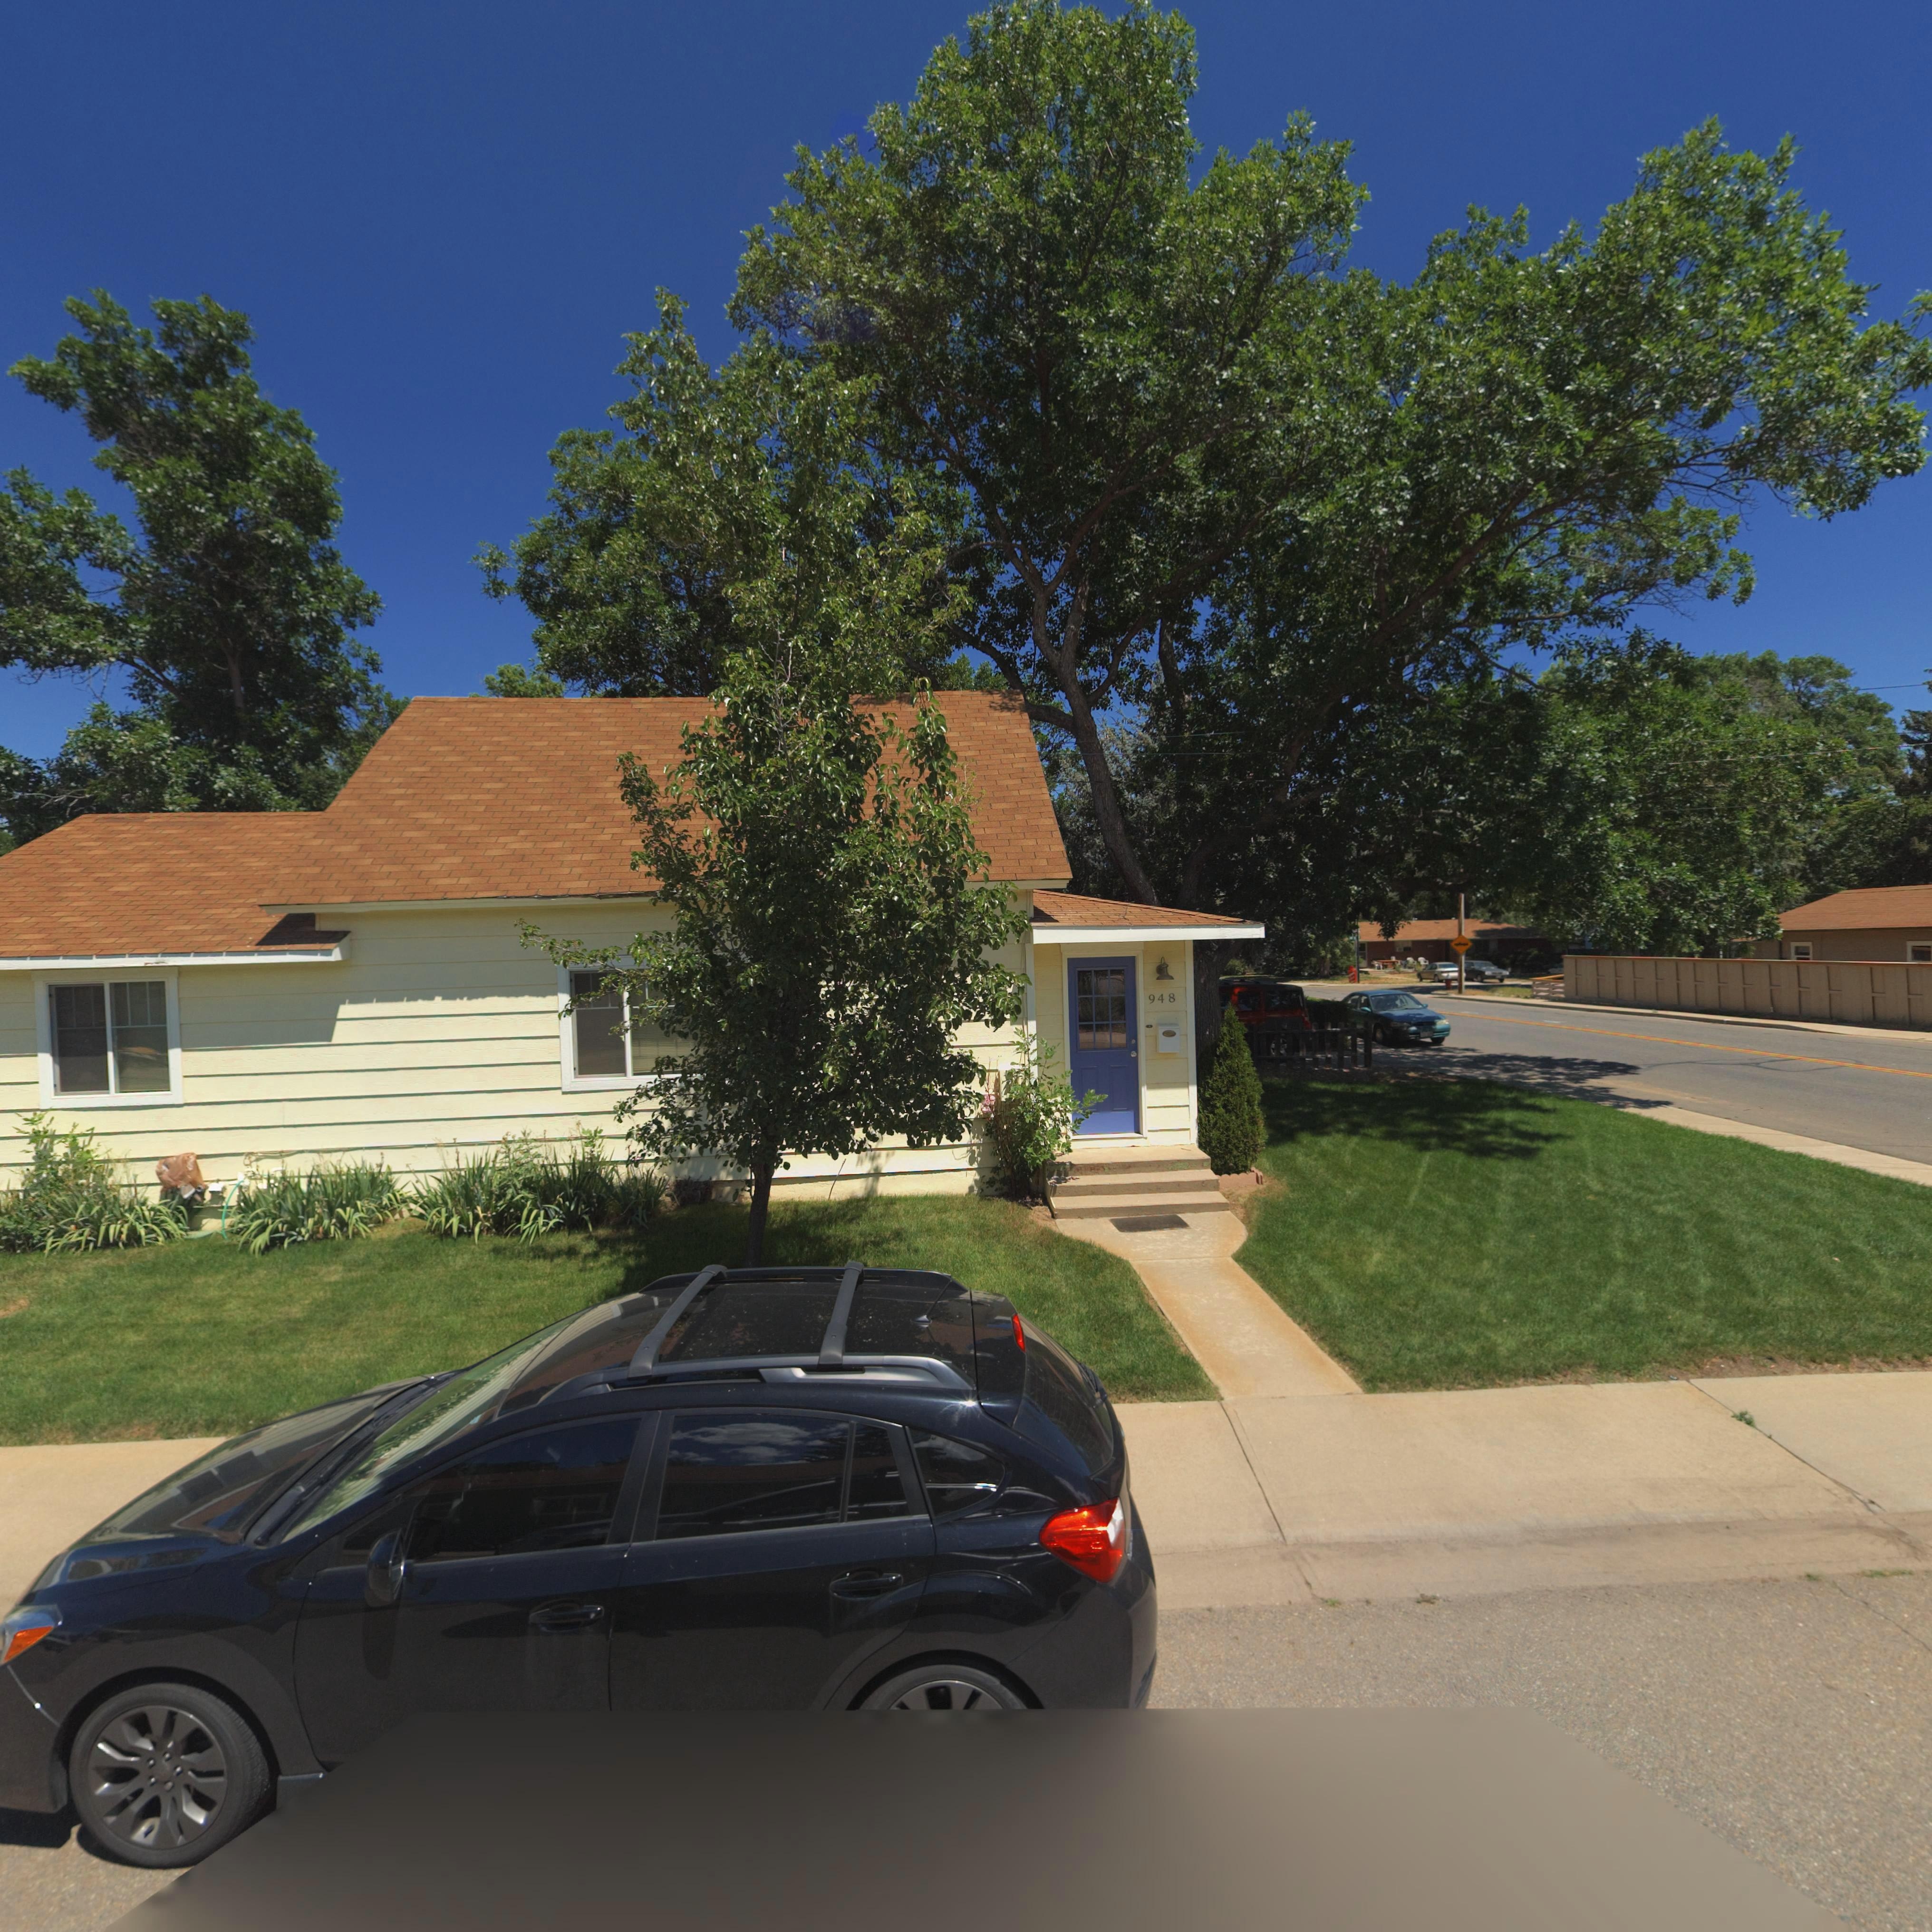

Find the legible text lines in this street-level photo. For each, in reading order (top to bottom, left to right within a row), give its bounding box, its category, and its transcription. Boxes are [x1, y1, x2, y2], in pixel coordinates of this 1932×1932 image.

[1149, 993, 1176, 1004] StreetNumber: 948